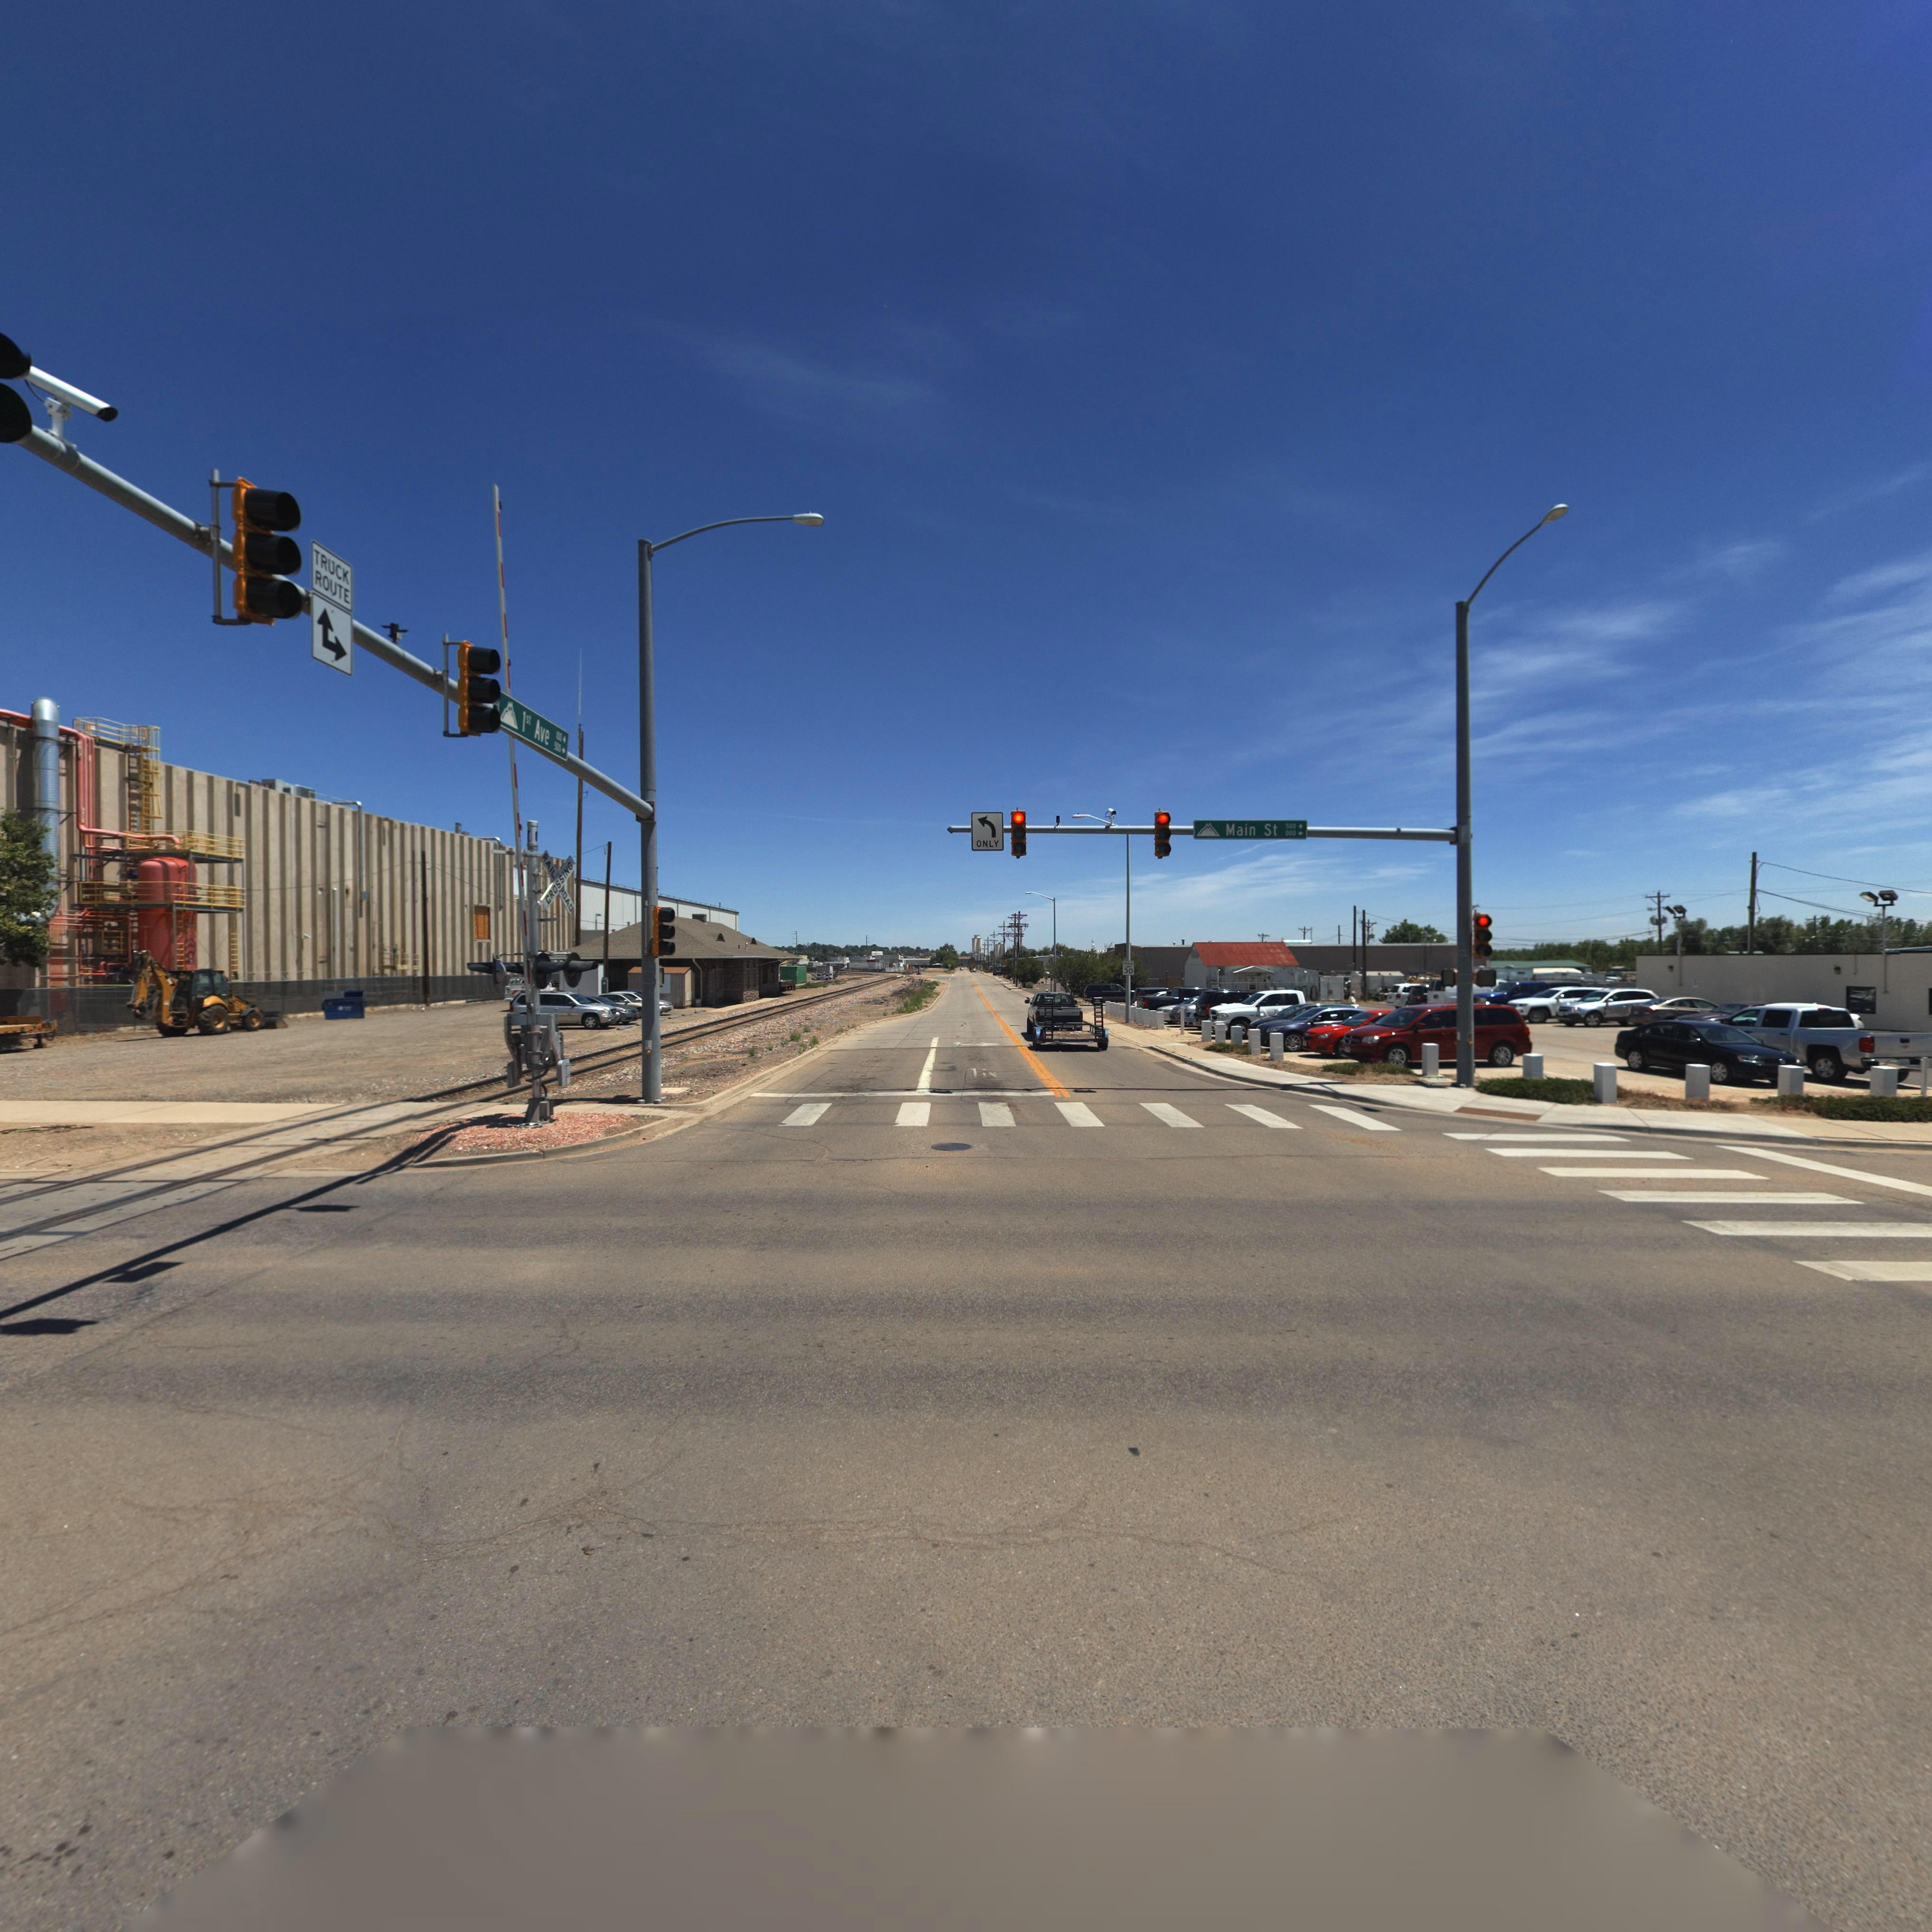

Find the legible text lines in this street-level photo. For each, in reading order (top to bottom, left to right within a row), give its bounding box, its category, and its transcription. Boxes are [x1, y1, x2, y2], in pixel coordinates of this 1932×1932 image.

[518, 708, 552, 748] StreetName: 1st Ave
[555, 730, 562, 741] StreetNumberRange: *00
[552, 741, 566, 755] StreetNumberRange: 500->
[1225, 822, 1277, 837] StreetName: Main St
[1285, 823, 1296, 829] StreetNumberRange: 500
[1285, 830, 1303, 837] StreetNumberRange: 000->